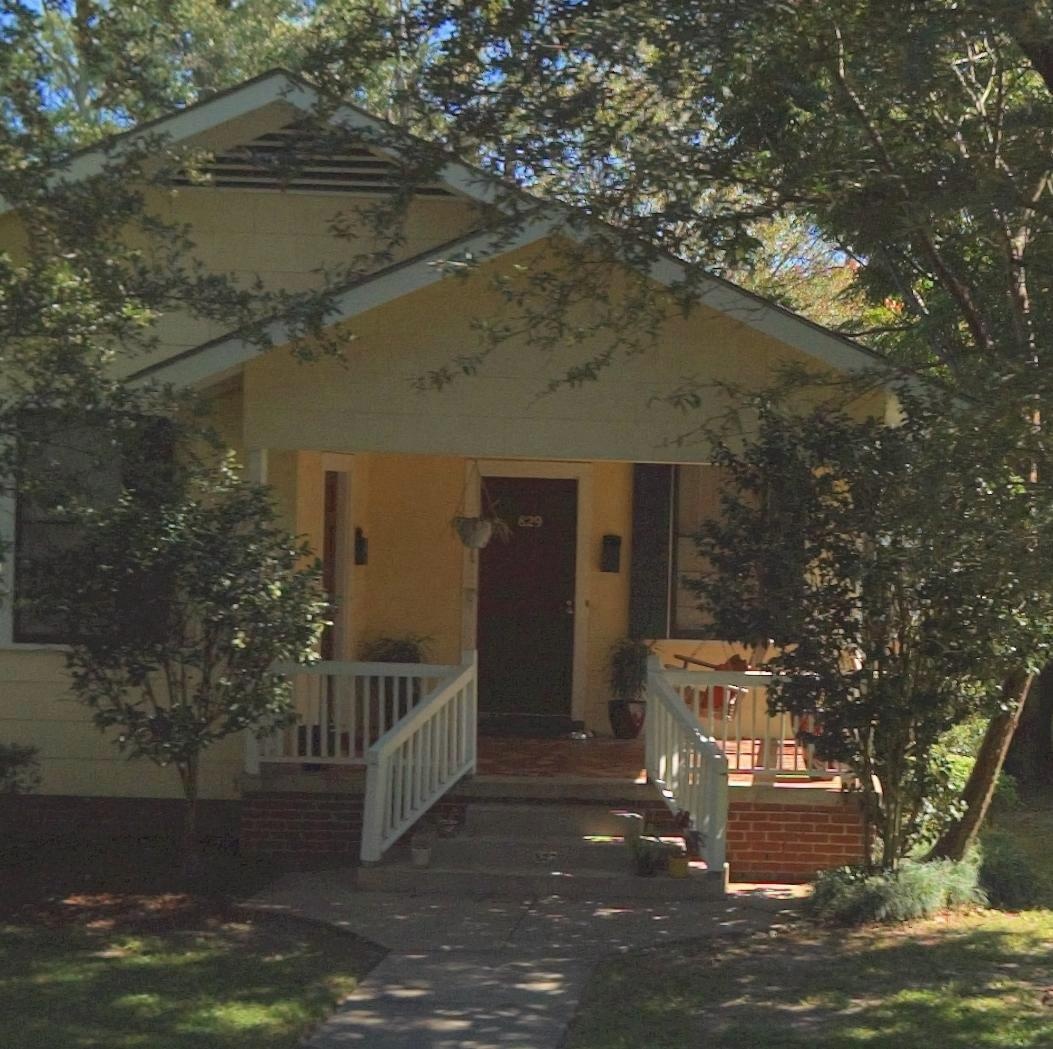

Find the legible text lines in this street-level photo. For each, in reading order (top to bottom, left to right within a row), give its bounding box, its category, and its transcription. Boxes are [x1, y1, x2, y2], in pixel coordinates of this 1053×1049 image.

[516, 513, 544, 529] StreetNumber: *29